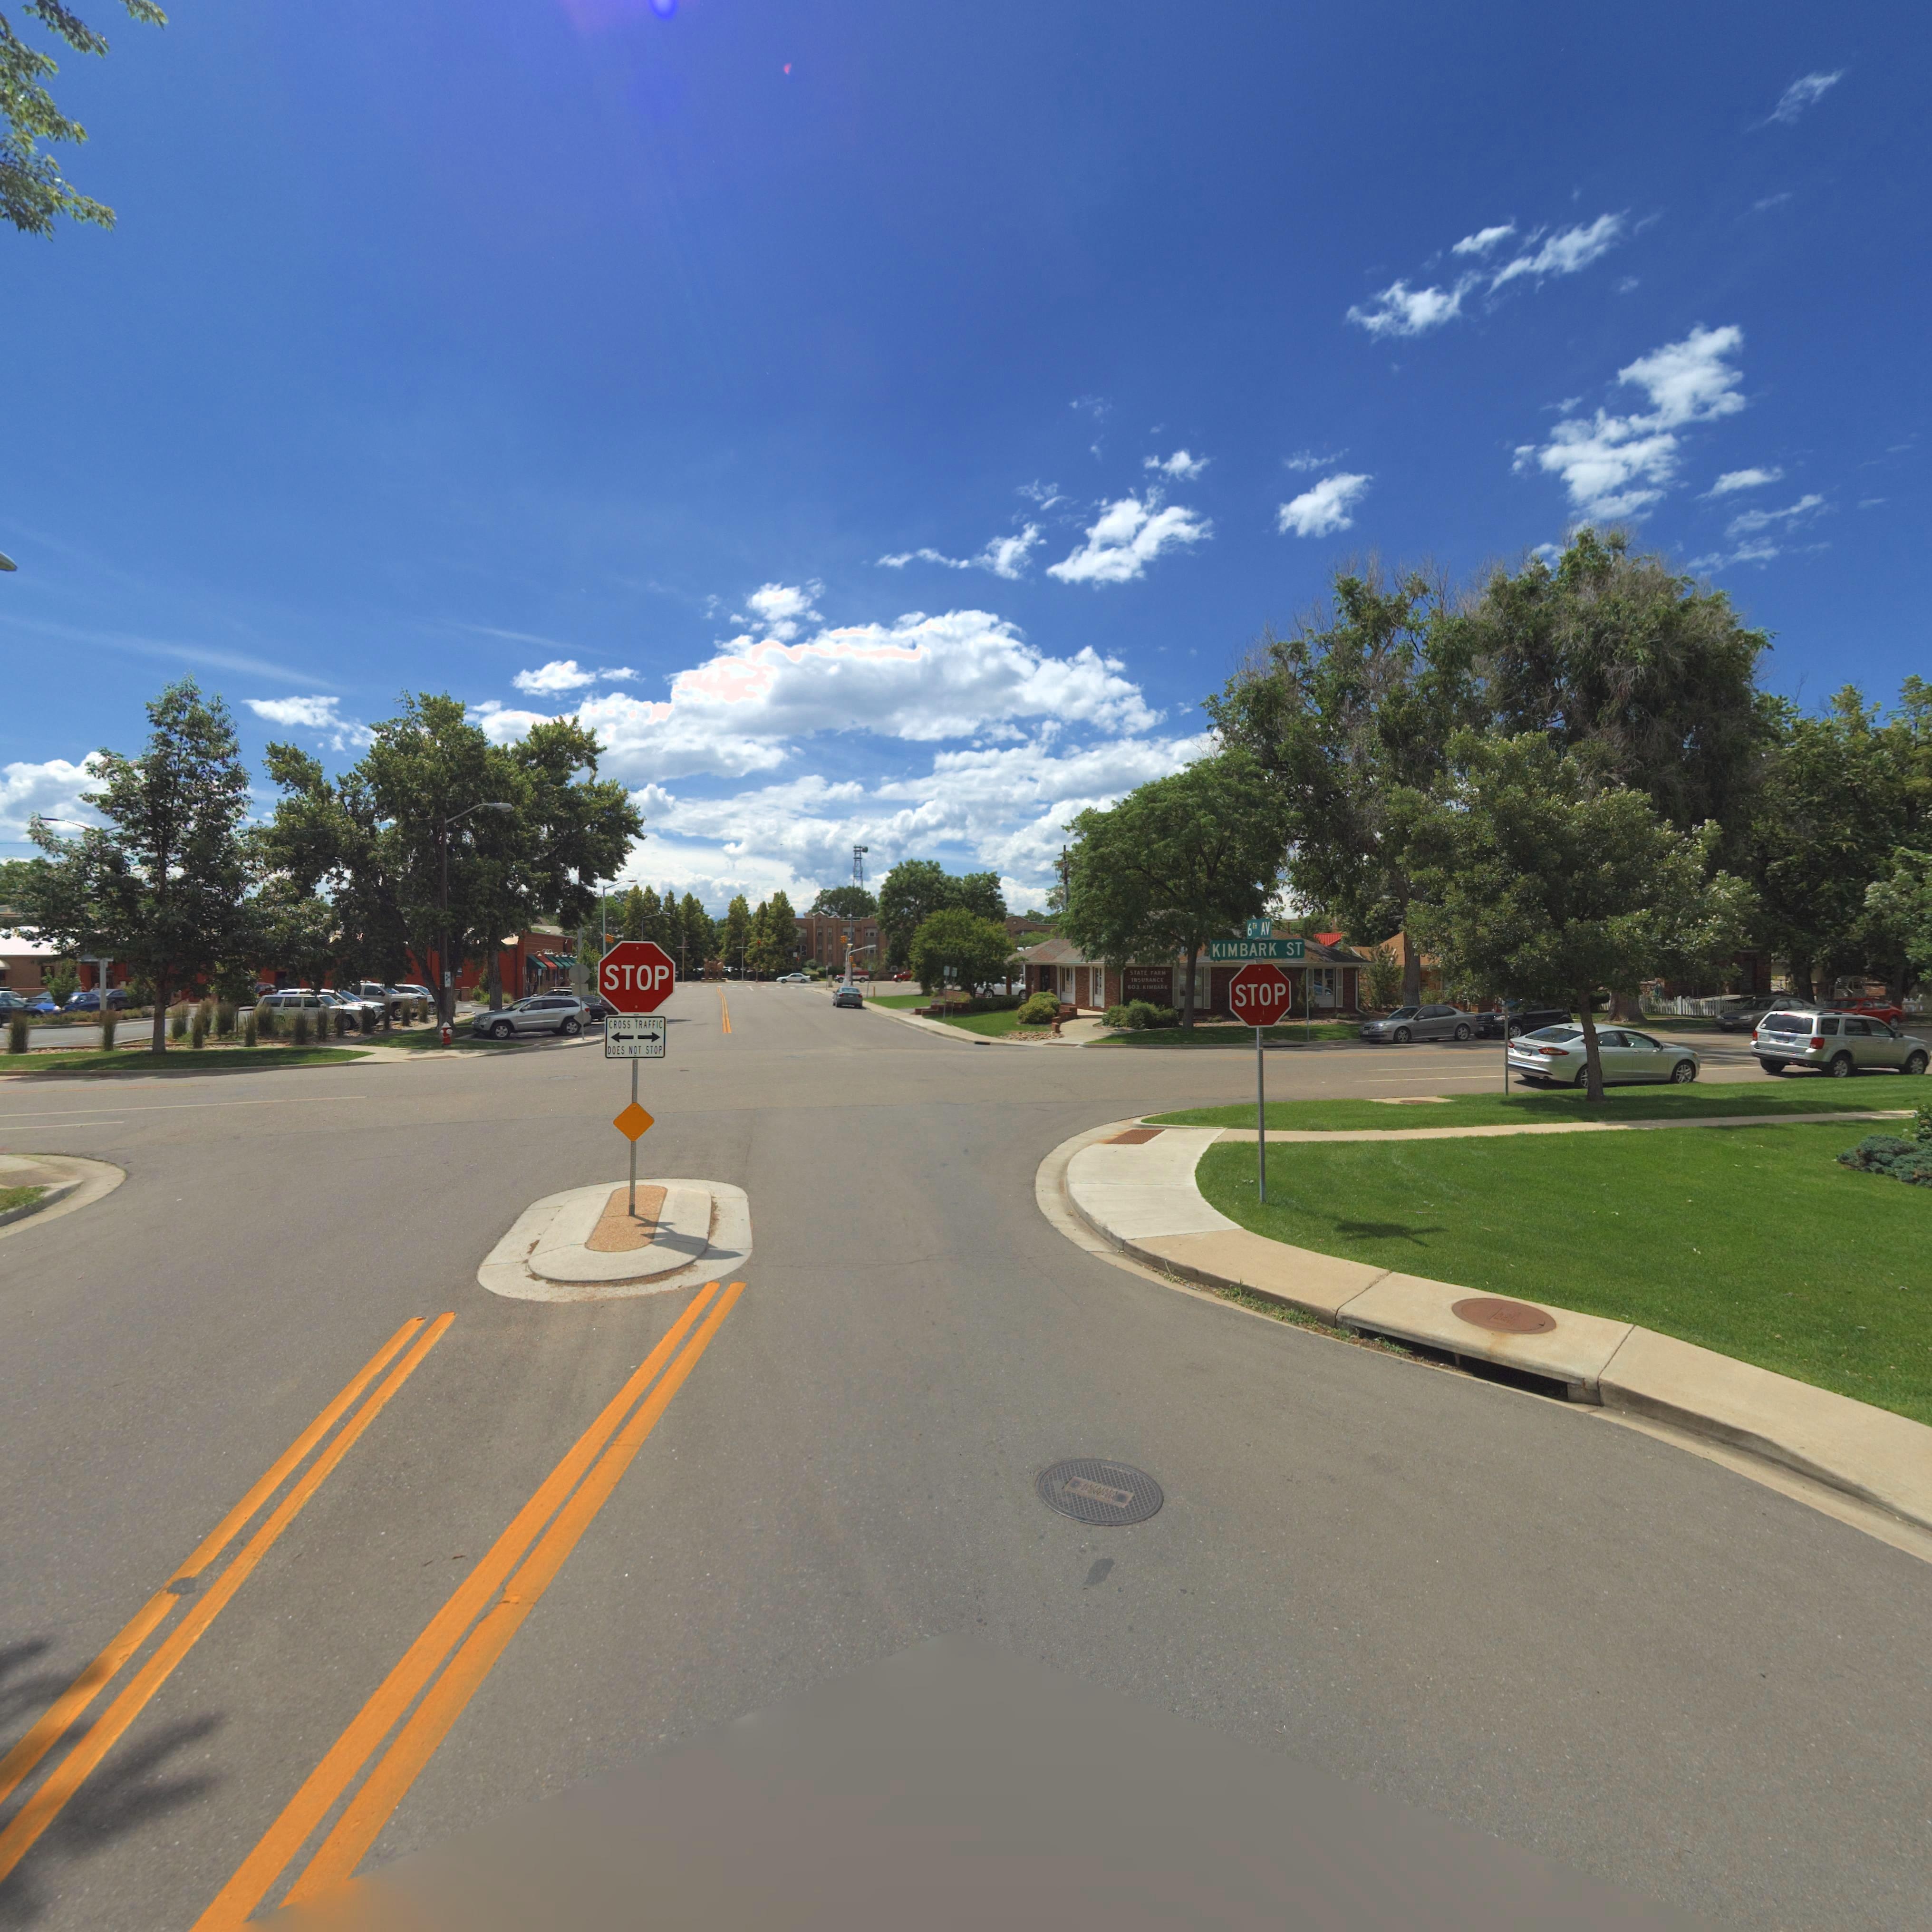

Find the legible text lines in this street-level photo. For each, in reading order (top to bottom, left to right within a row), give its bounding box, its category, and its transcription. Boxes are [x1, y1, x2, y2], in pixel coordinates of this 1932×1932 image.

[1247, 920, 1271, 937] StreetName: 6TH AV
[1213, 942, 1302, 957] StreetName: KIMBARK ST
[1129, 970, 1166, 976] BusinessName: STATE FARM
[1130, 977, 1164, 983] BusinessName: INSURANCE
[1127, 984, 1139, 989] StreetNumber: 603
[1142, 984, 1168, 990] StreetName: KIMBARK